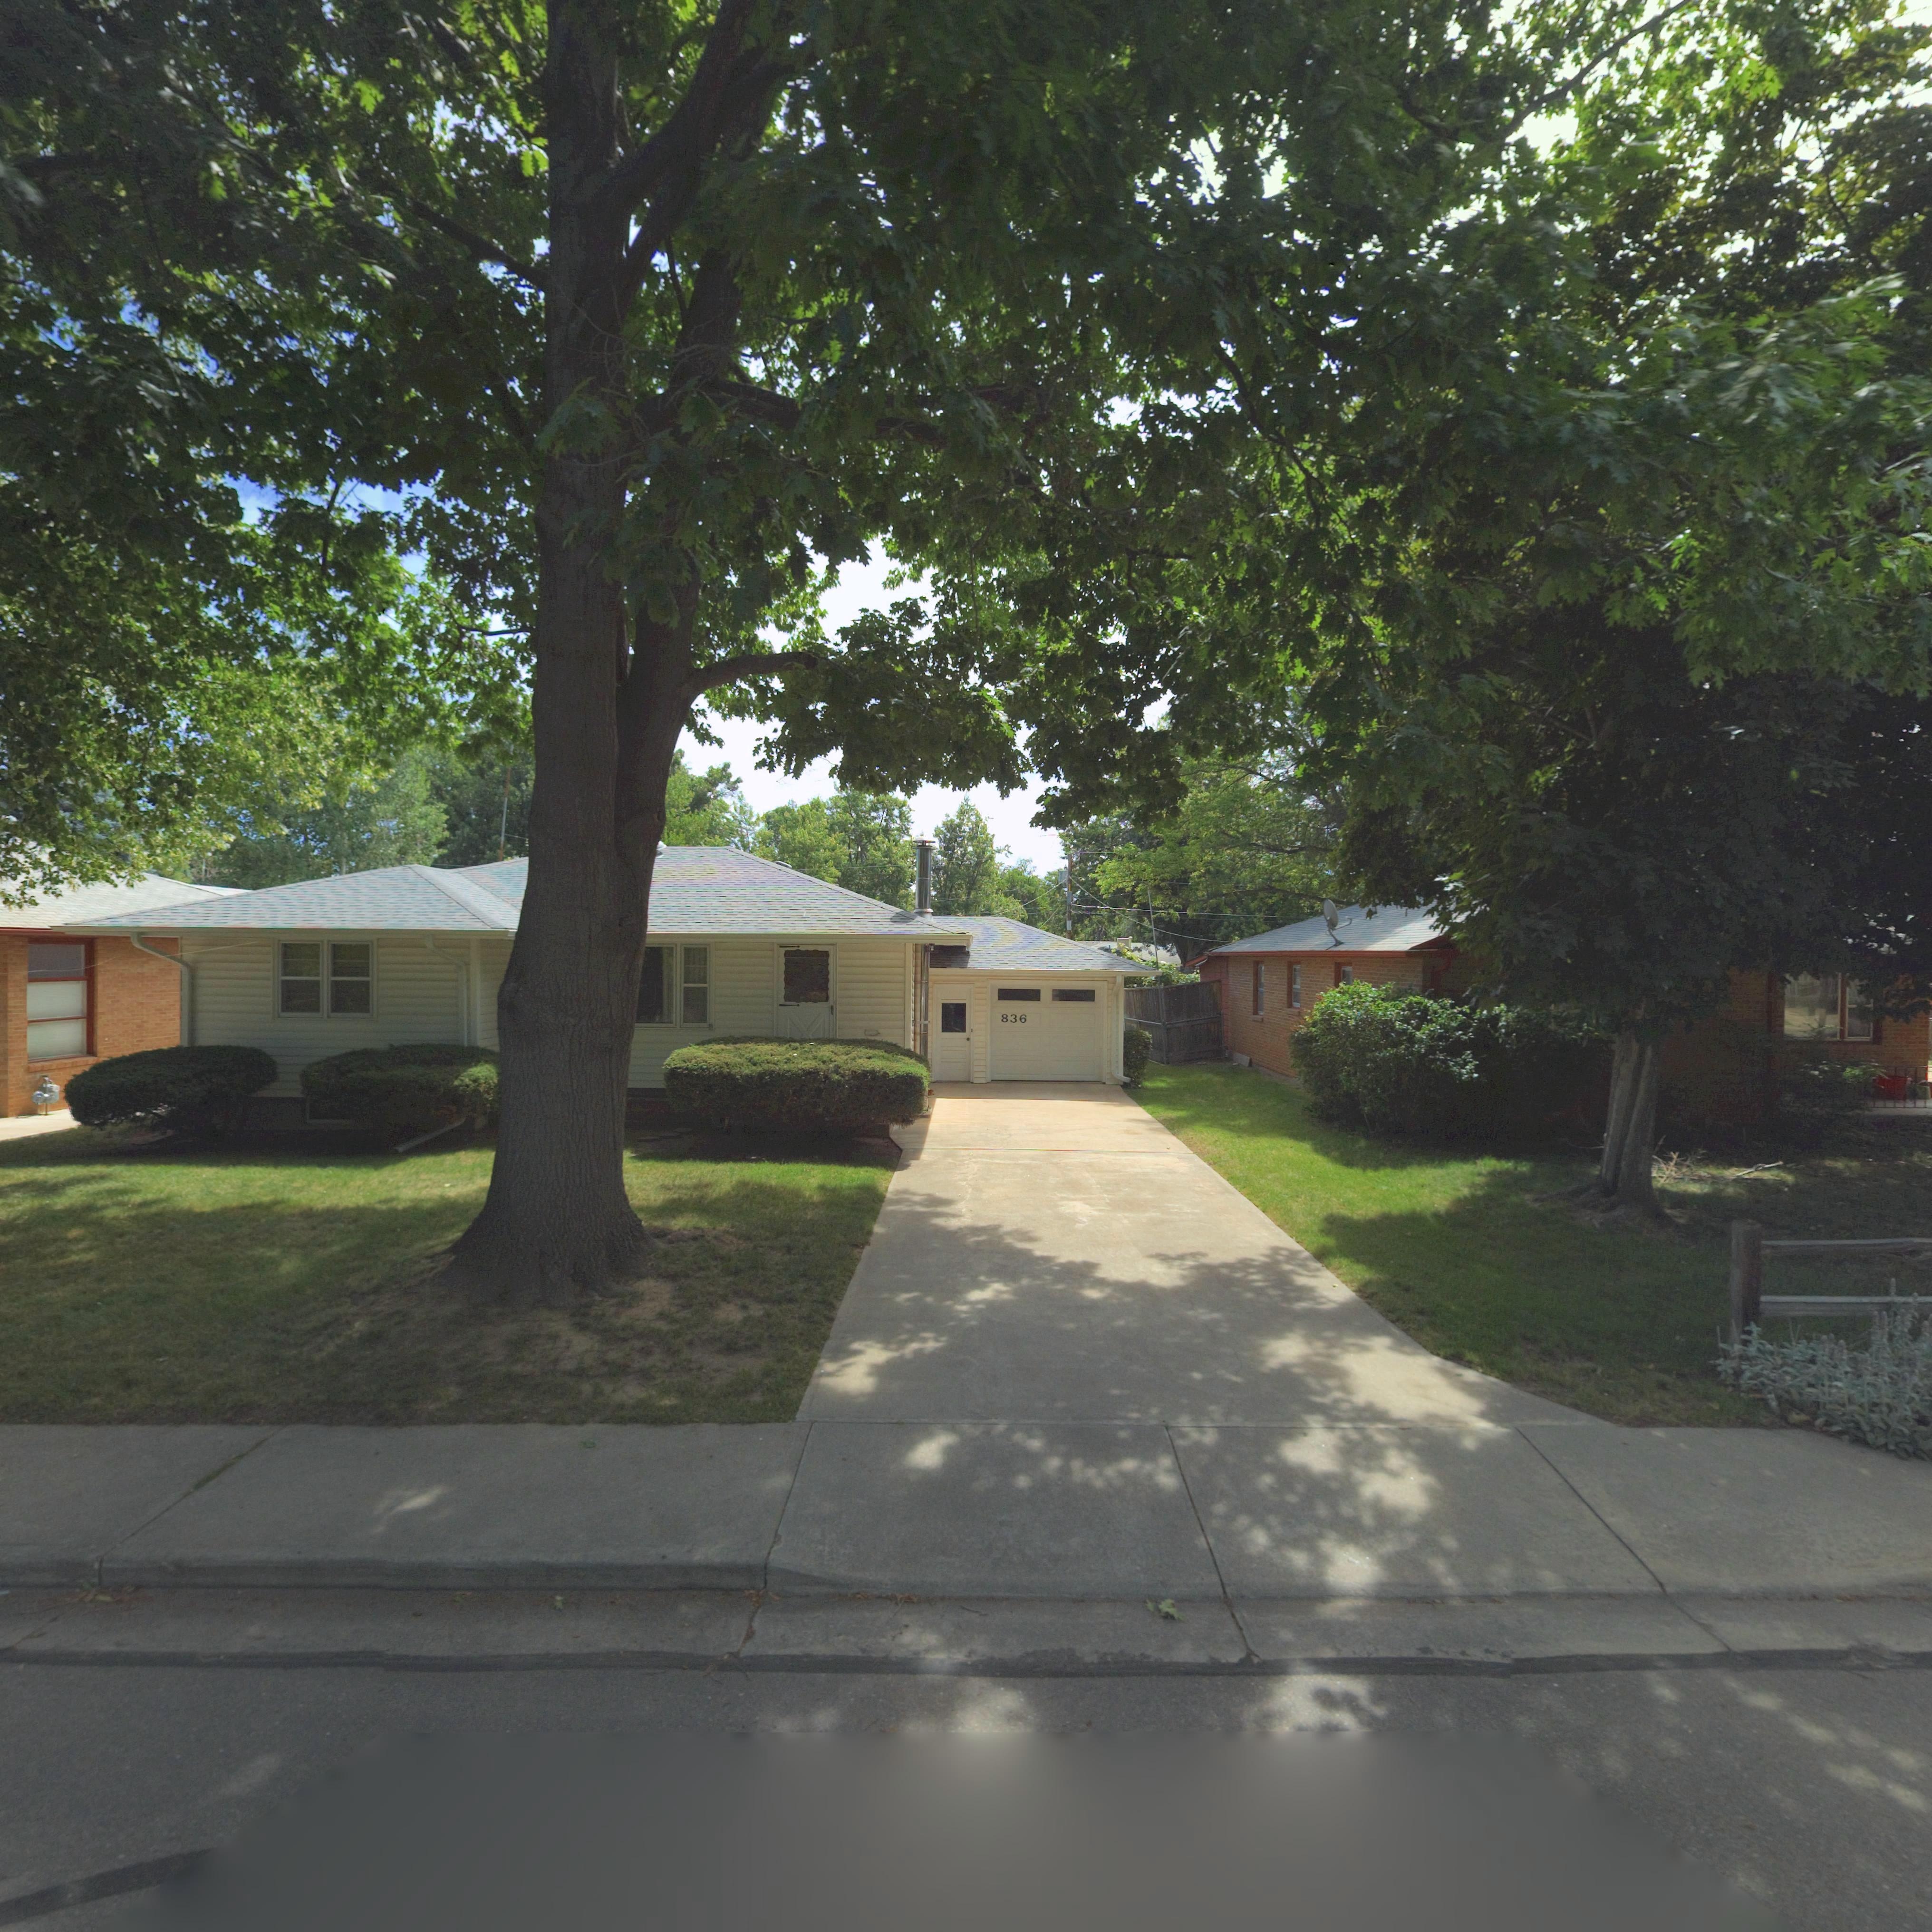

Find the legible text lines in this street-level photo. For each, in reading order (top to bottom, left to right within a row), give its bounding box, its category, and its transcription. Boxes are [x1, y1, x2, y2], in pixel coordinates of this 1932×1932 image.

[1001, 1014, 1027, 1023] StreetNumber: 836